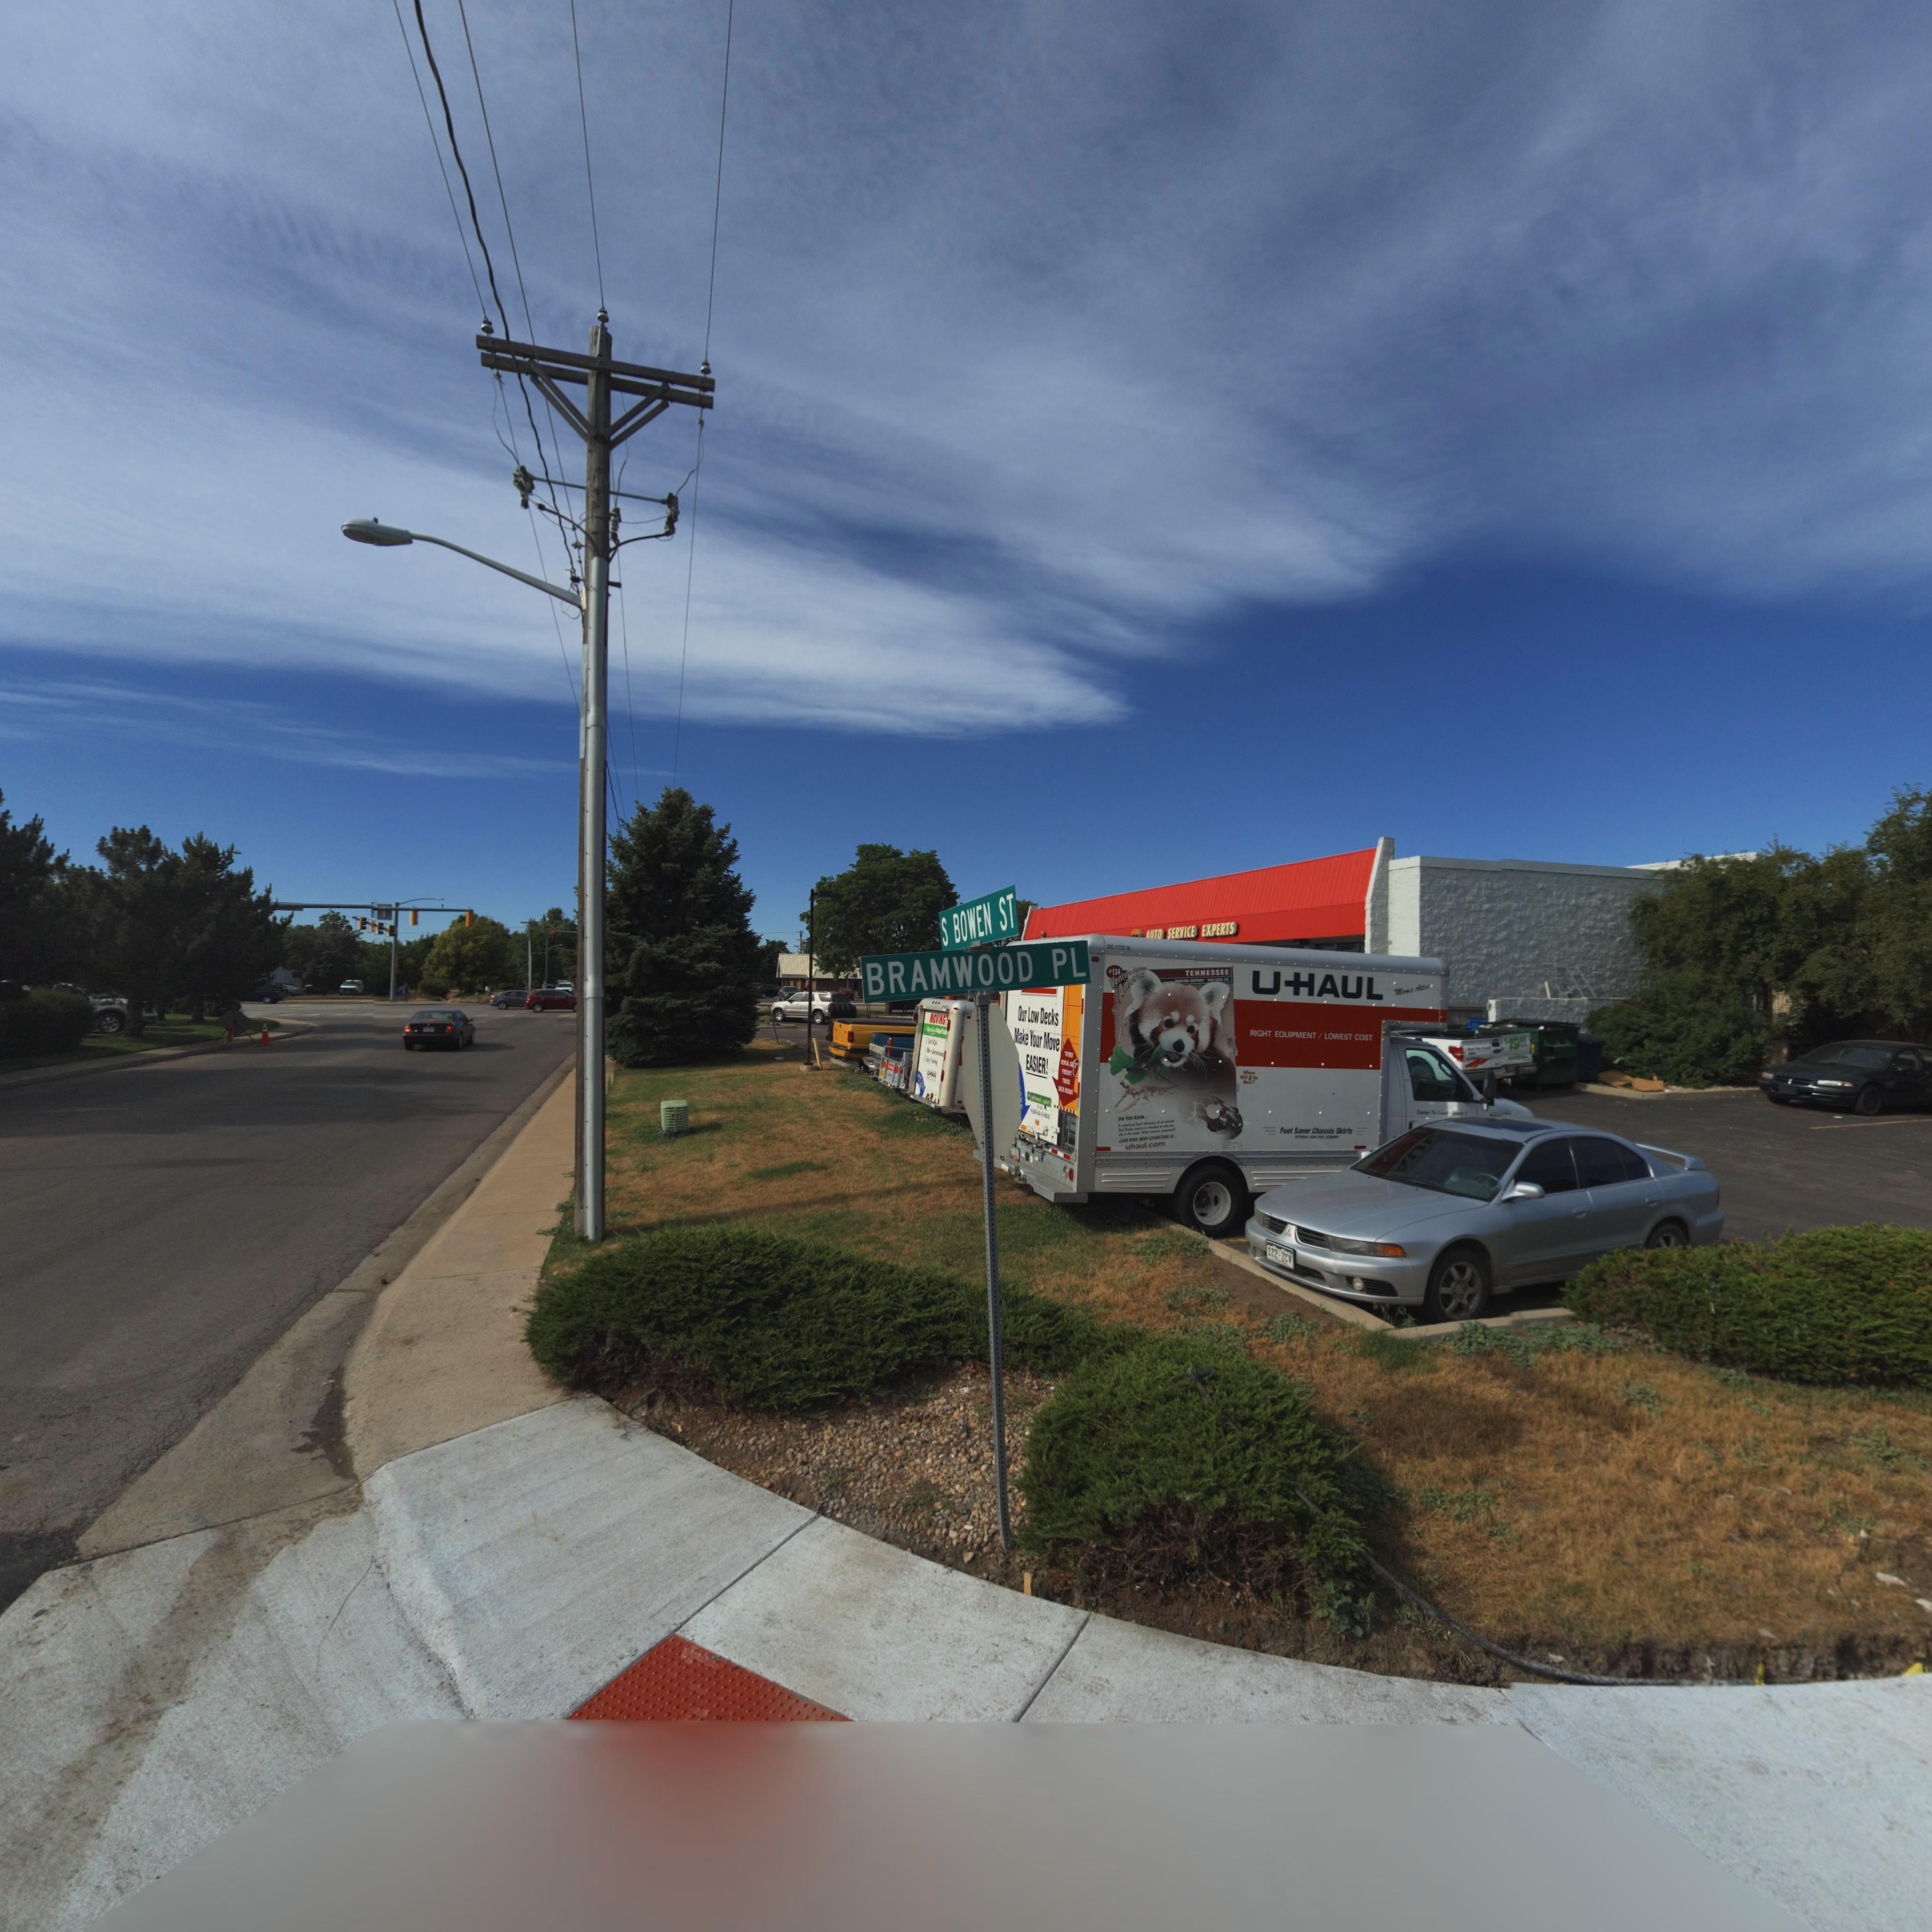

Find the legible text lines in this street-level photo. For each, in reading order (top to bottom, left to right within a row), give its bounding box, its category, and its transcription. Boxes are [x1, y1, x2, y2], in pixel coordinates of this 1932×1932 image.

[941, 893, 1014, 947] StreetName: S BOWEN ST
[1146, 921, 1235, 940] BusinessName: **TO SERVICE EXPERTS
[865, 947, 1086, 995] StreetName: BRAMWOOD PL